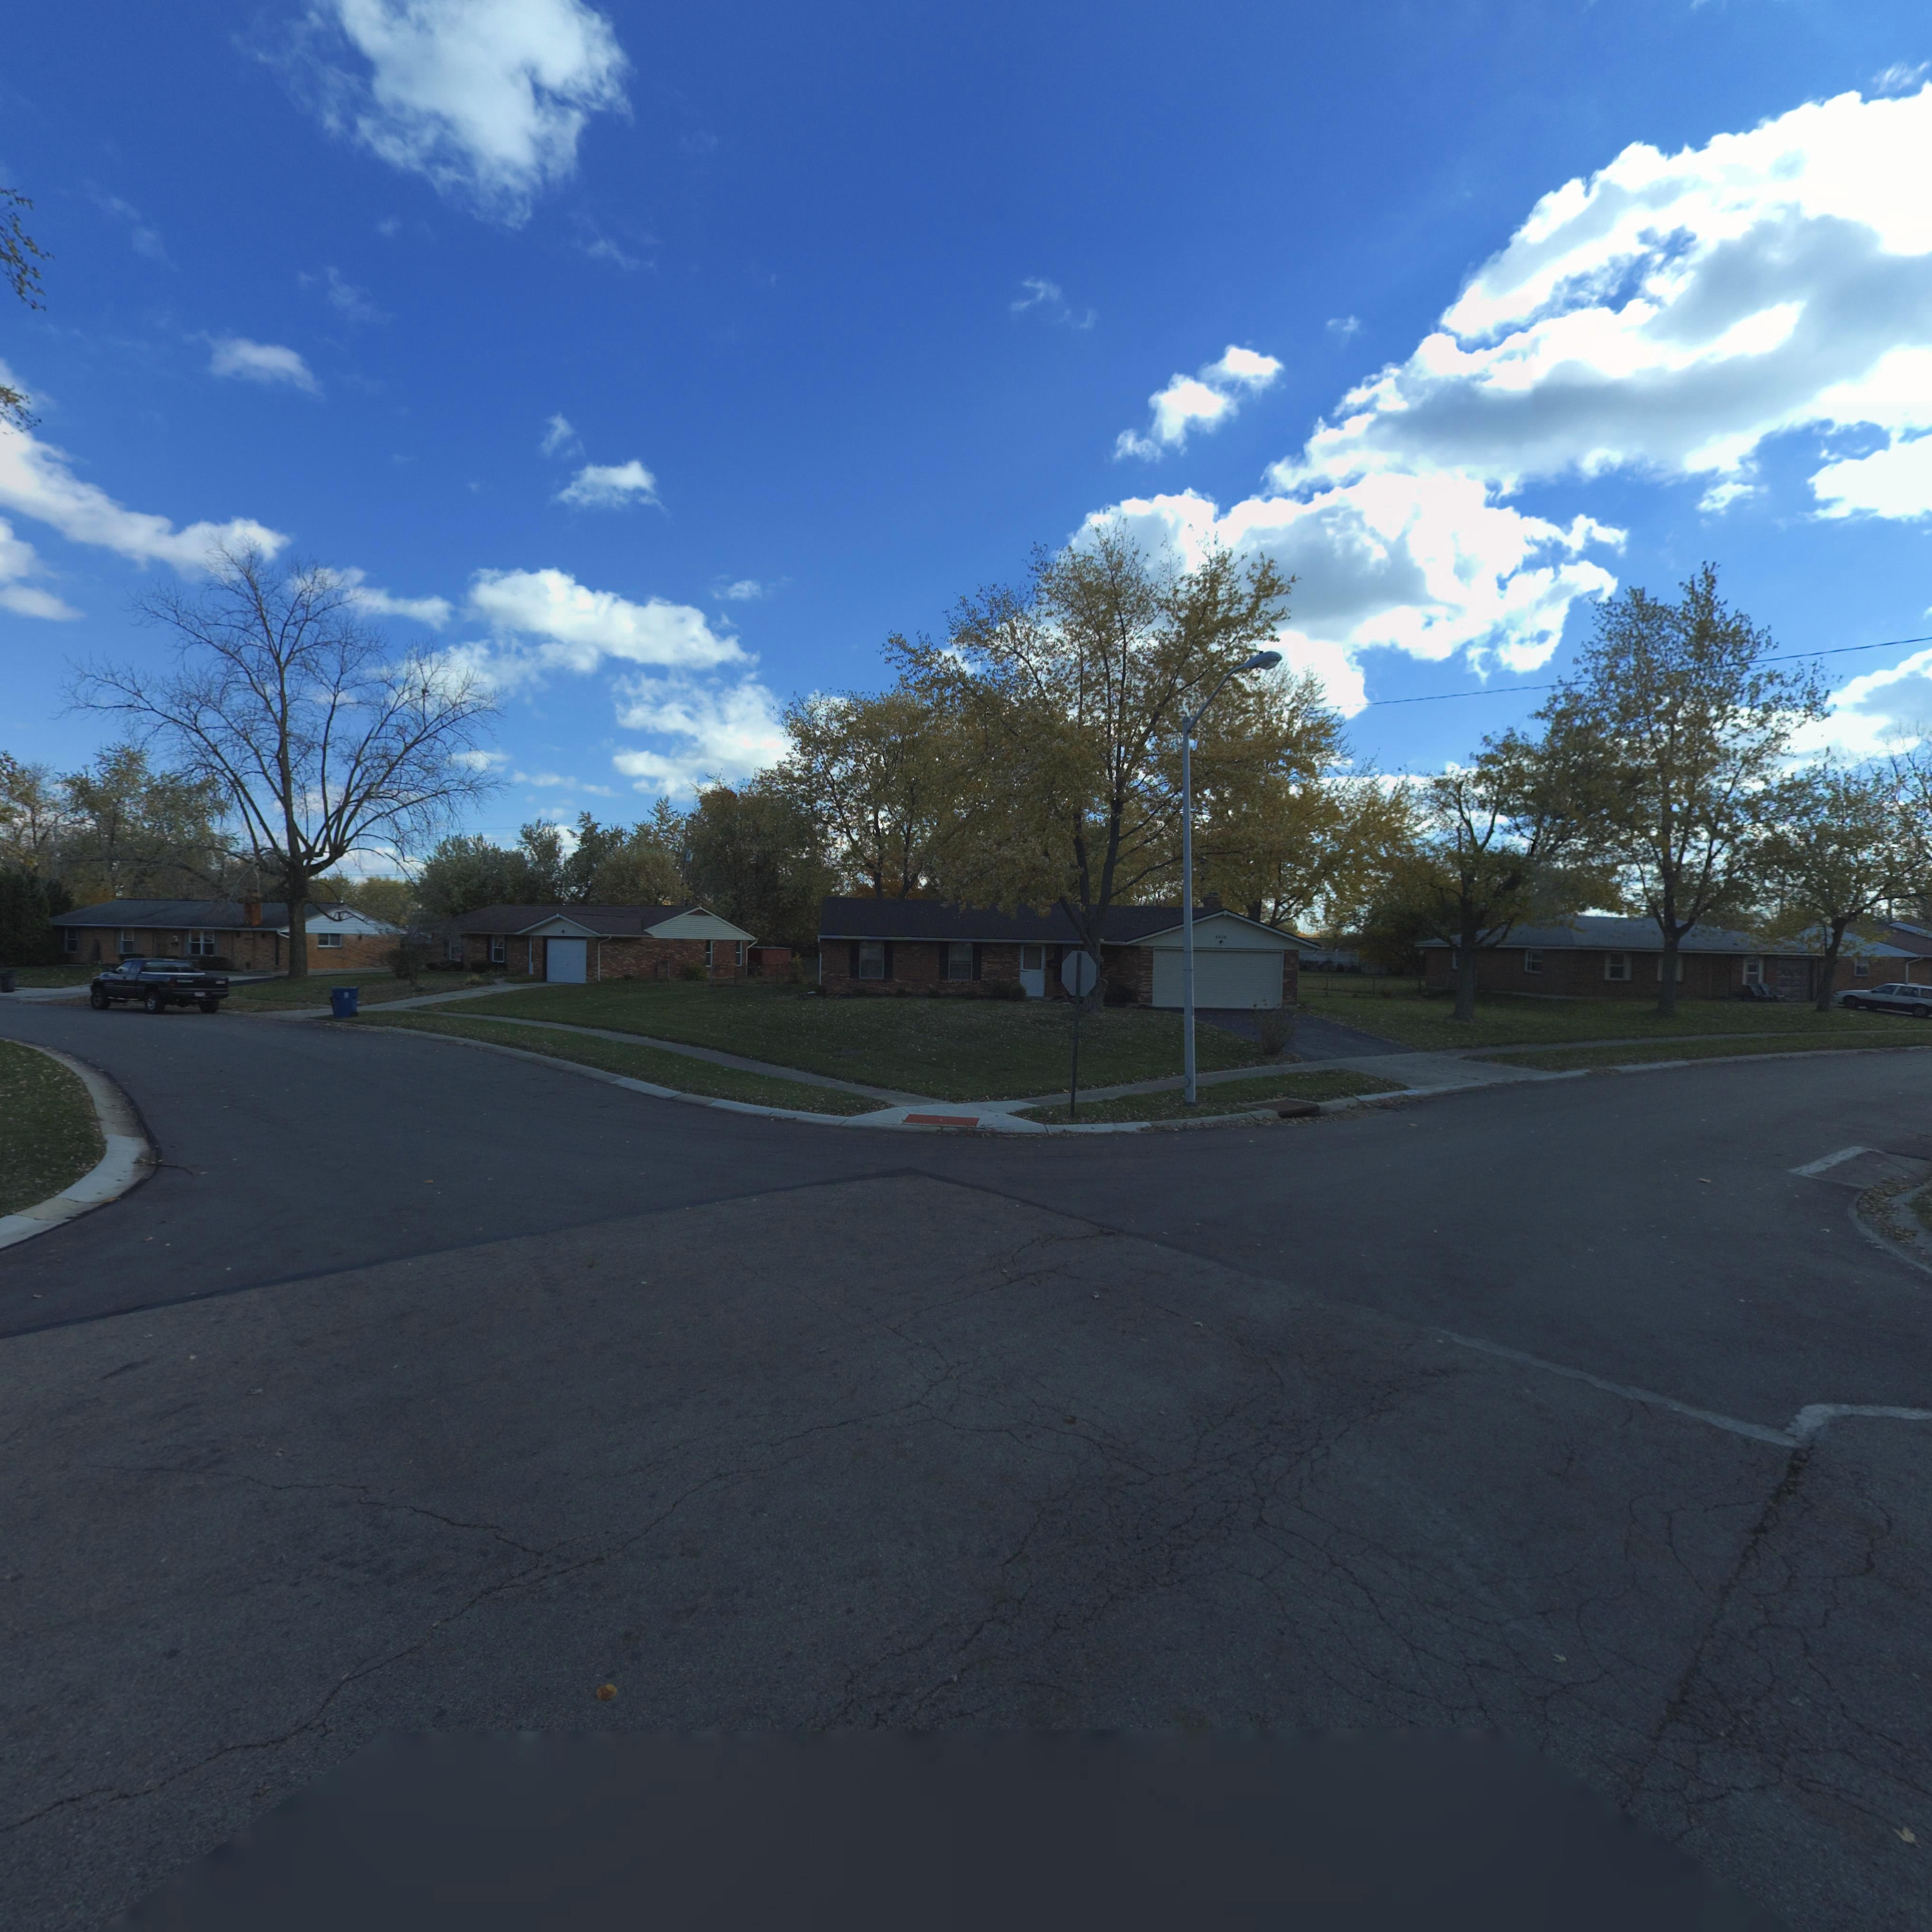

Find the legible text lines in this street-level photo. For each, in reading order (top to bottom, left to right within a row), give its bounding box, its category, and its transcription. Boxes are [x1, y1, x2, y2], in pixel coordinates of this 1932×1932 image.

[1215, 935, 1227, 939] StreetNumber: 6*7*